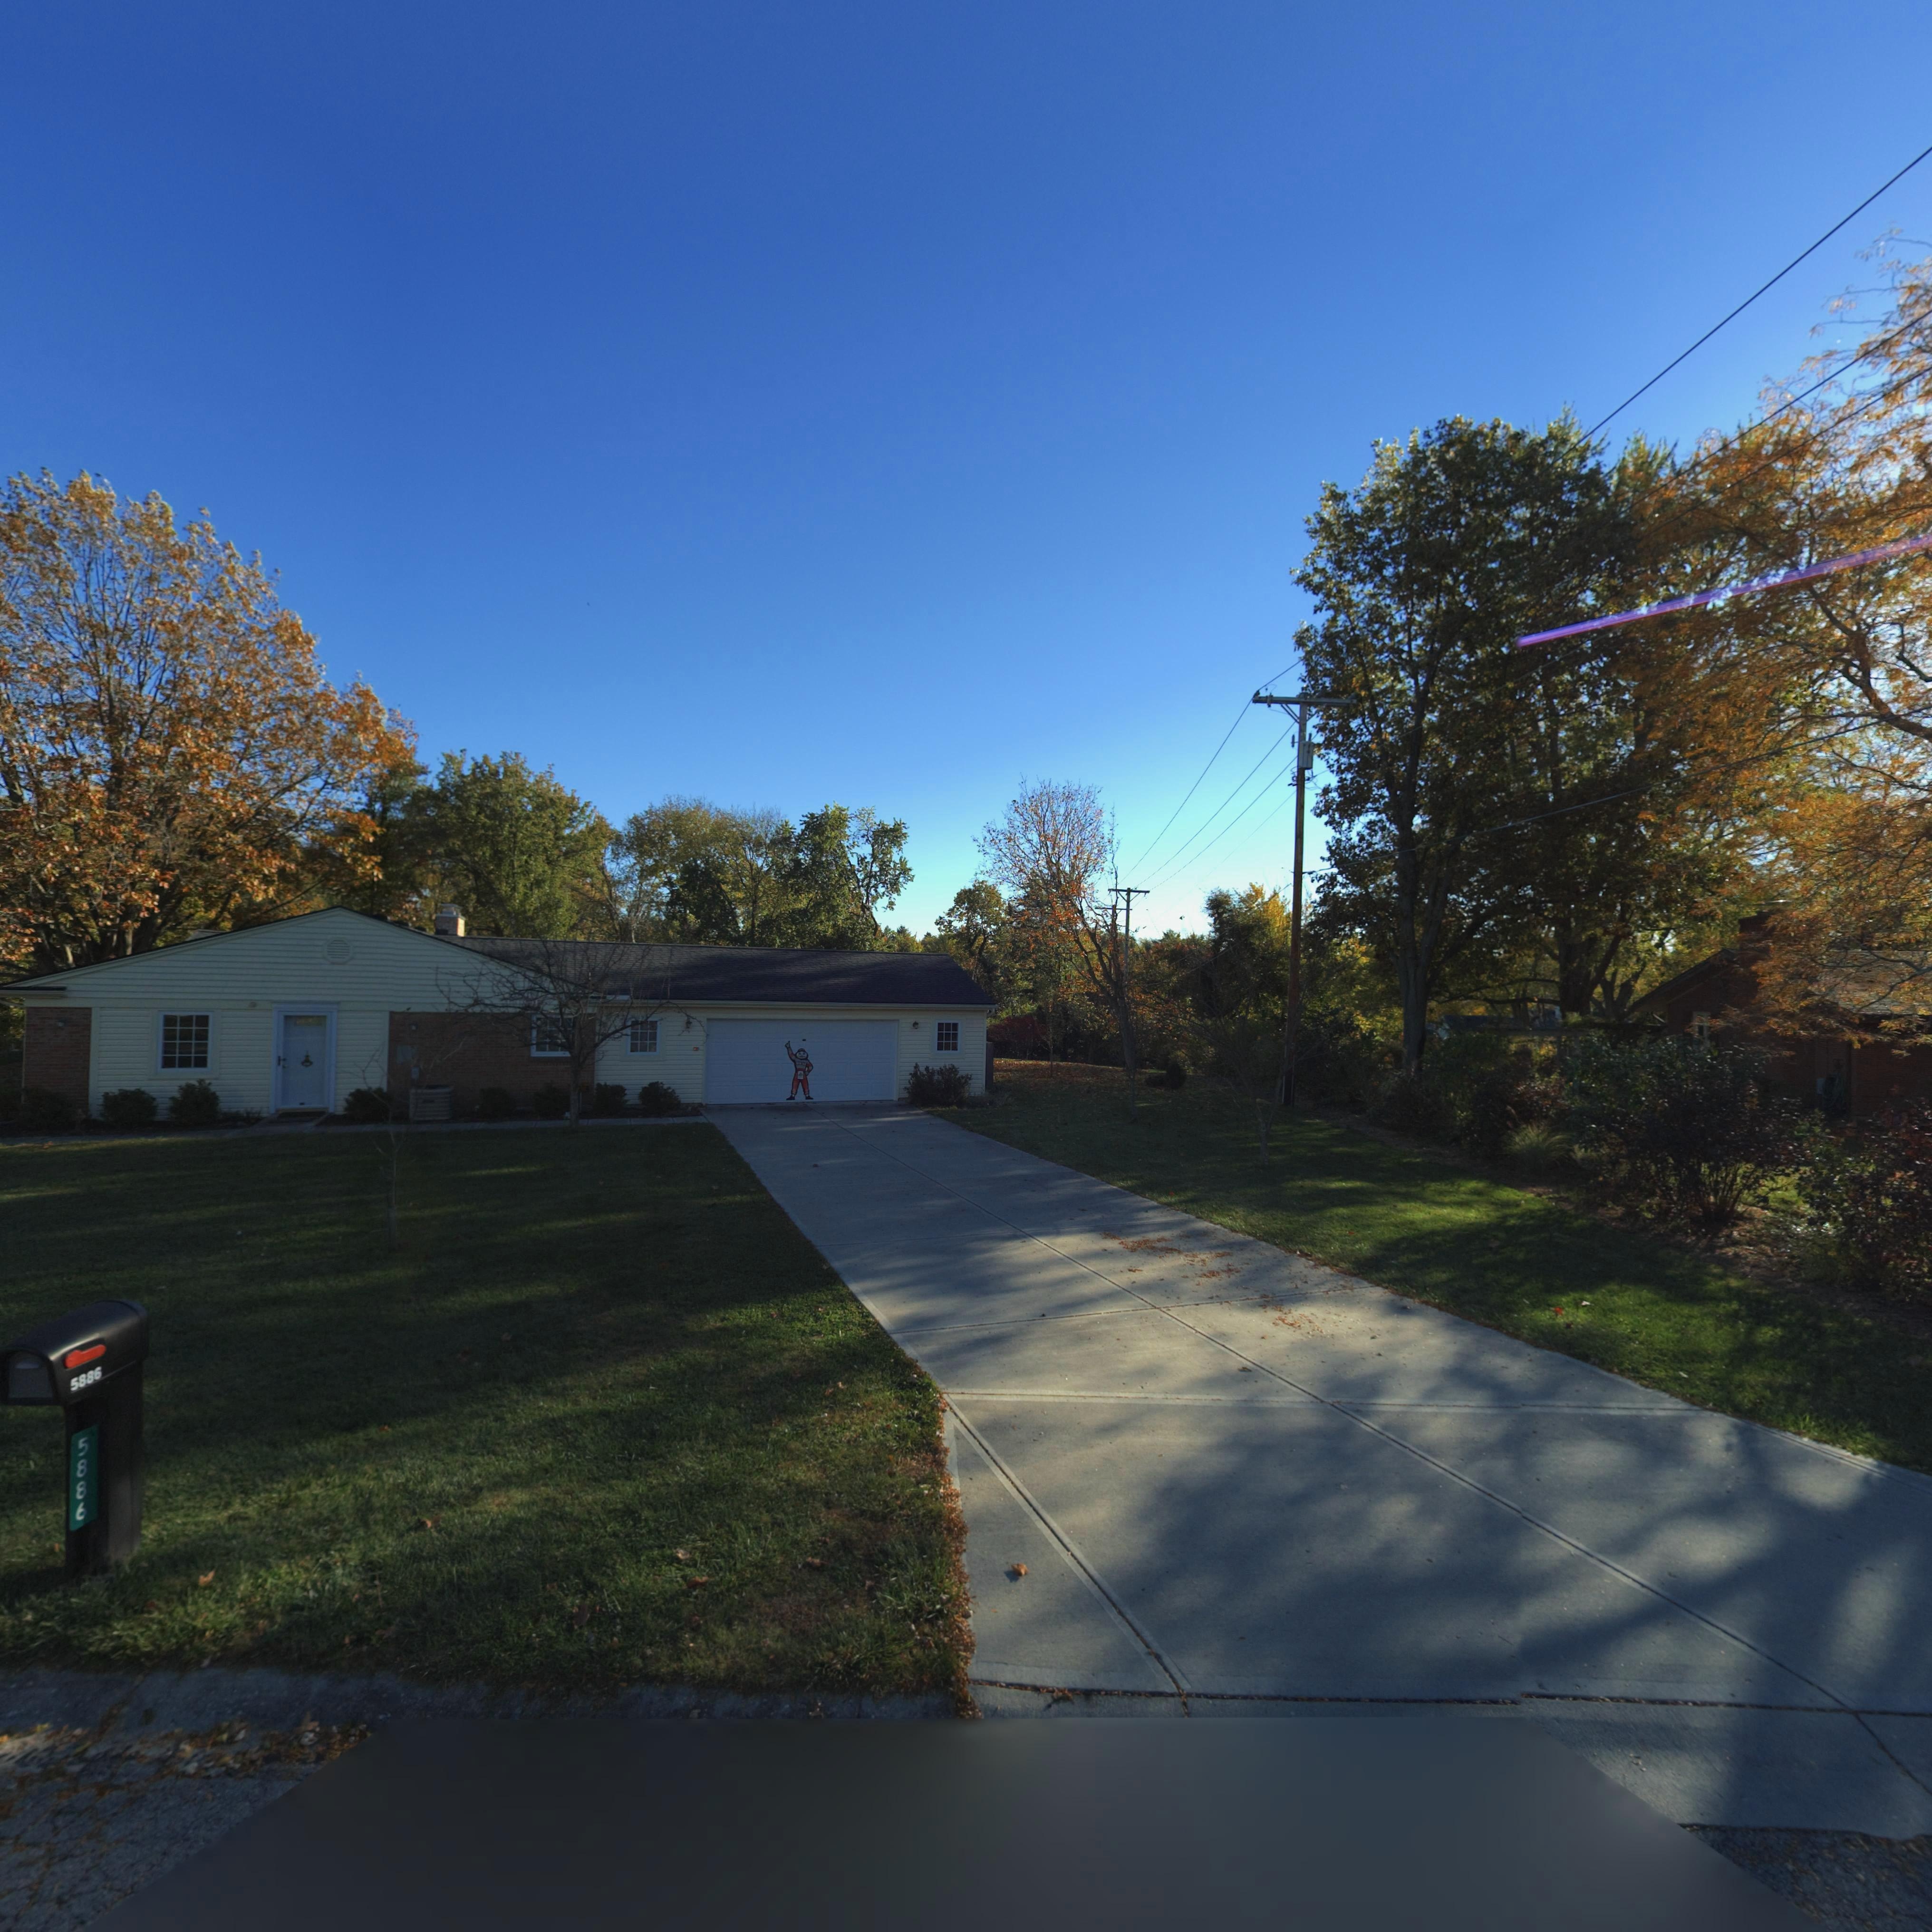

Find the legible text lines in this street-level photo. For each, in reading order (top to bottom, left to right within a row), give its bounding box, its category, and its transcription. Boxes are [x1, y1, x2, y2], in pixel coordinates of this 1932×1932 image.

[69, 1364, 104, 1393] StreetNumber: 5886
[75, 1434, 90, 1522] StreetNumber: 5886